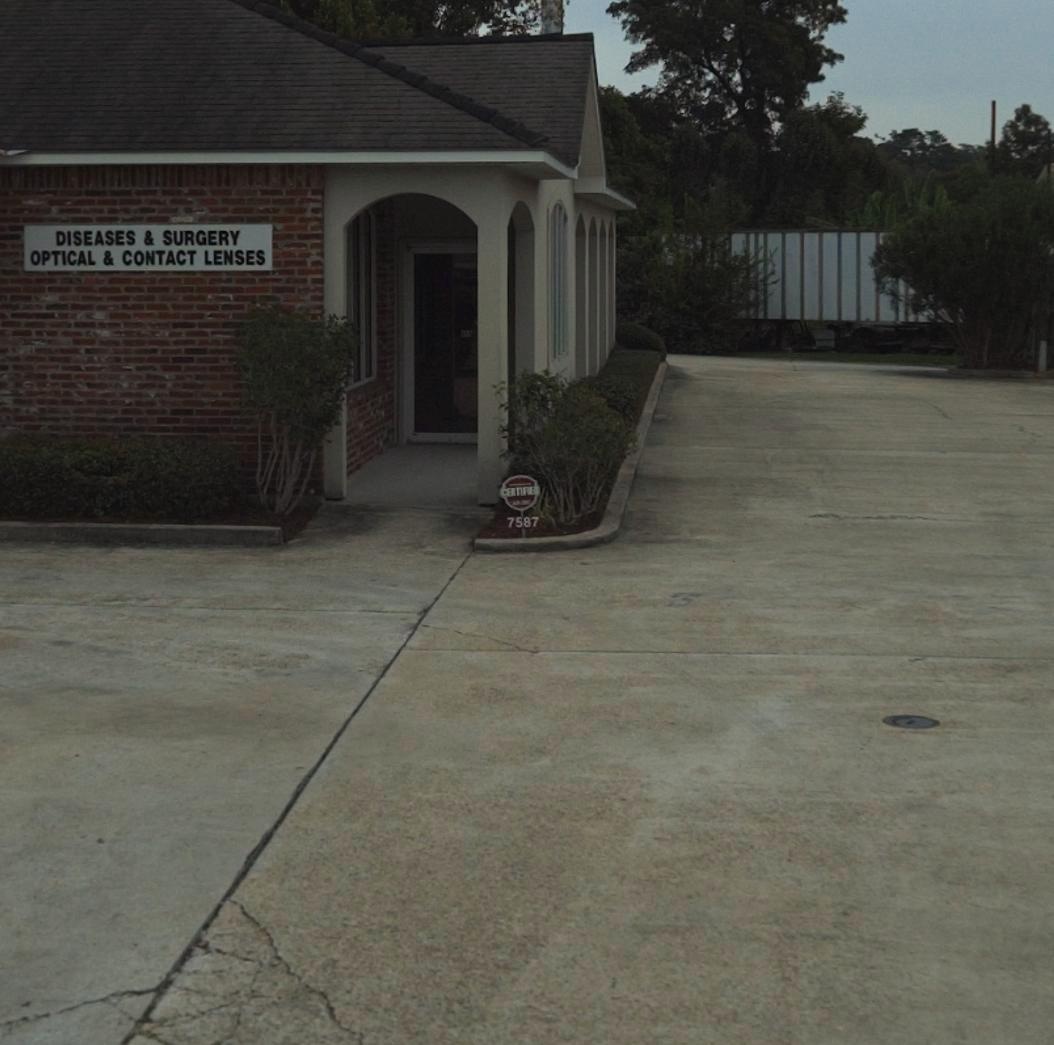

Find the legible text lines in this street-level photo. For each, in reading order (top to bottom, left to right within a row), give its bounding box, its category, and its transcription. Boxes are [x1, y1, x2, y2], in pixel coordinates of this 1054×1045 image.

[54, 230, 244, 246] None: DISEASE & SURGERY
[30, 248, 266, 267] None: OPTICAL & CONTACT LENSES
[499, 485, 540, 497] None: CERTIFIED
[505, 516, 540, 529] StreetNumber: 7587